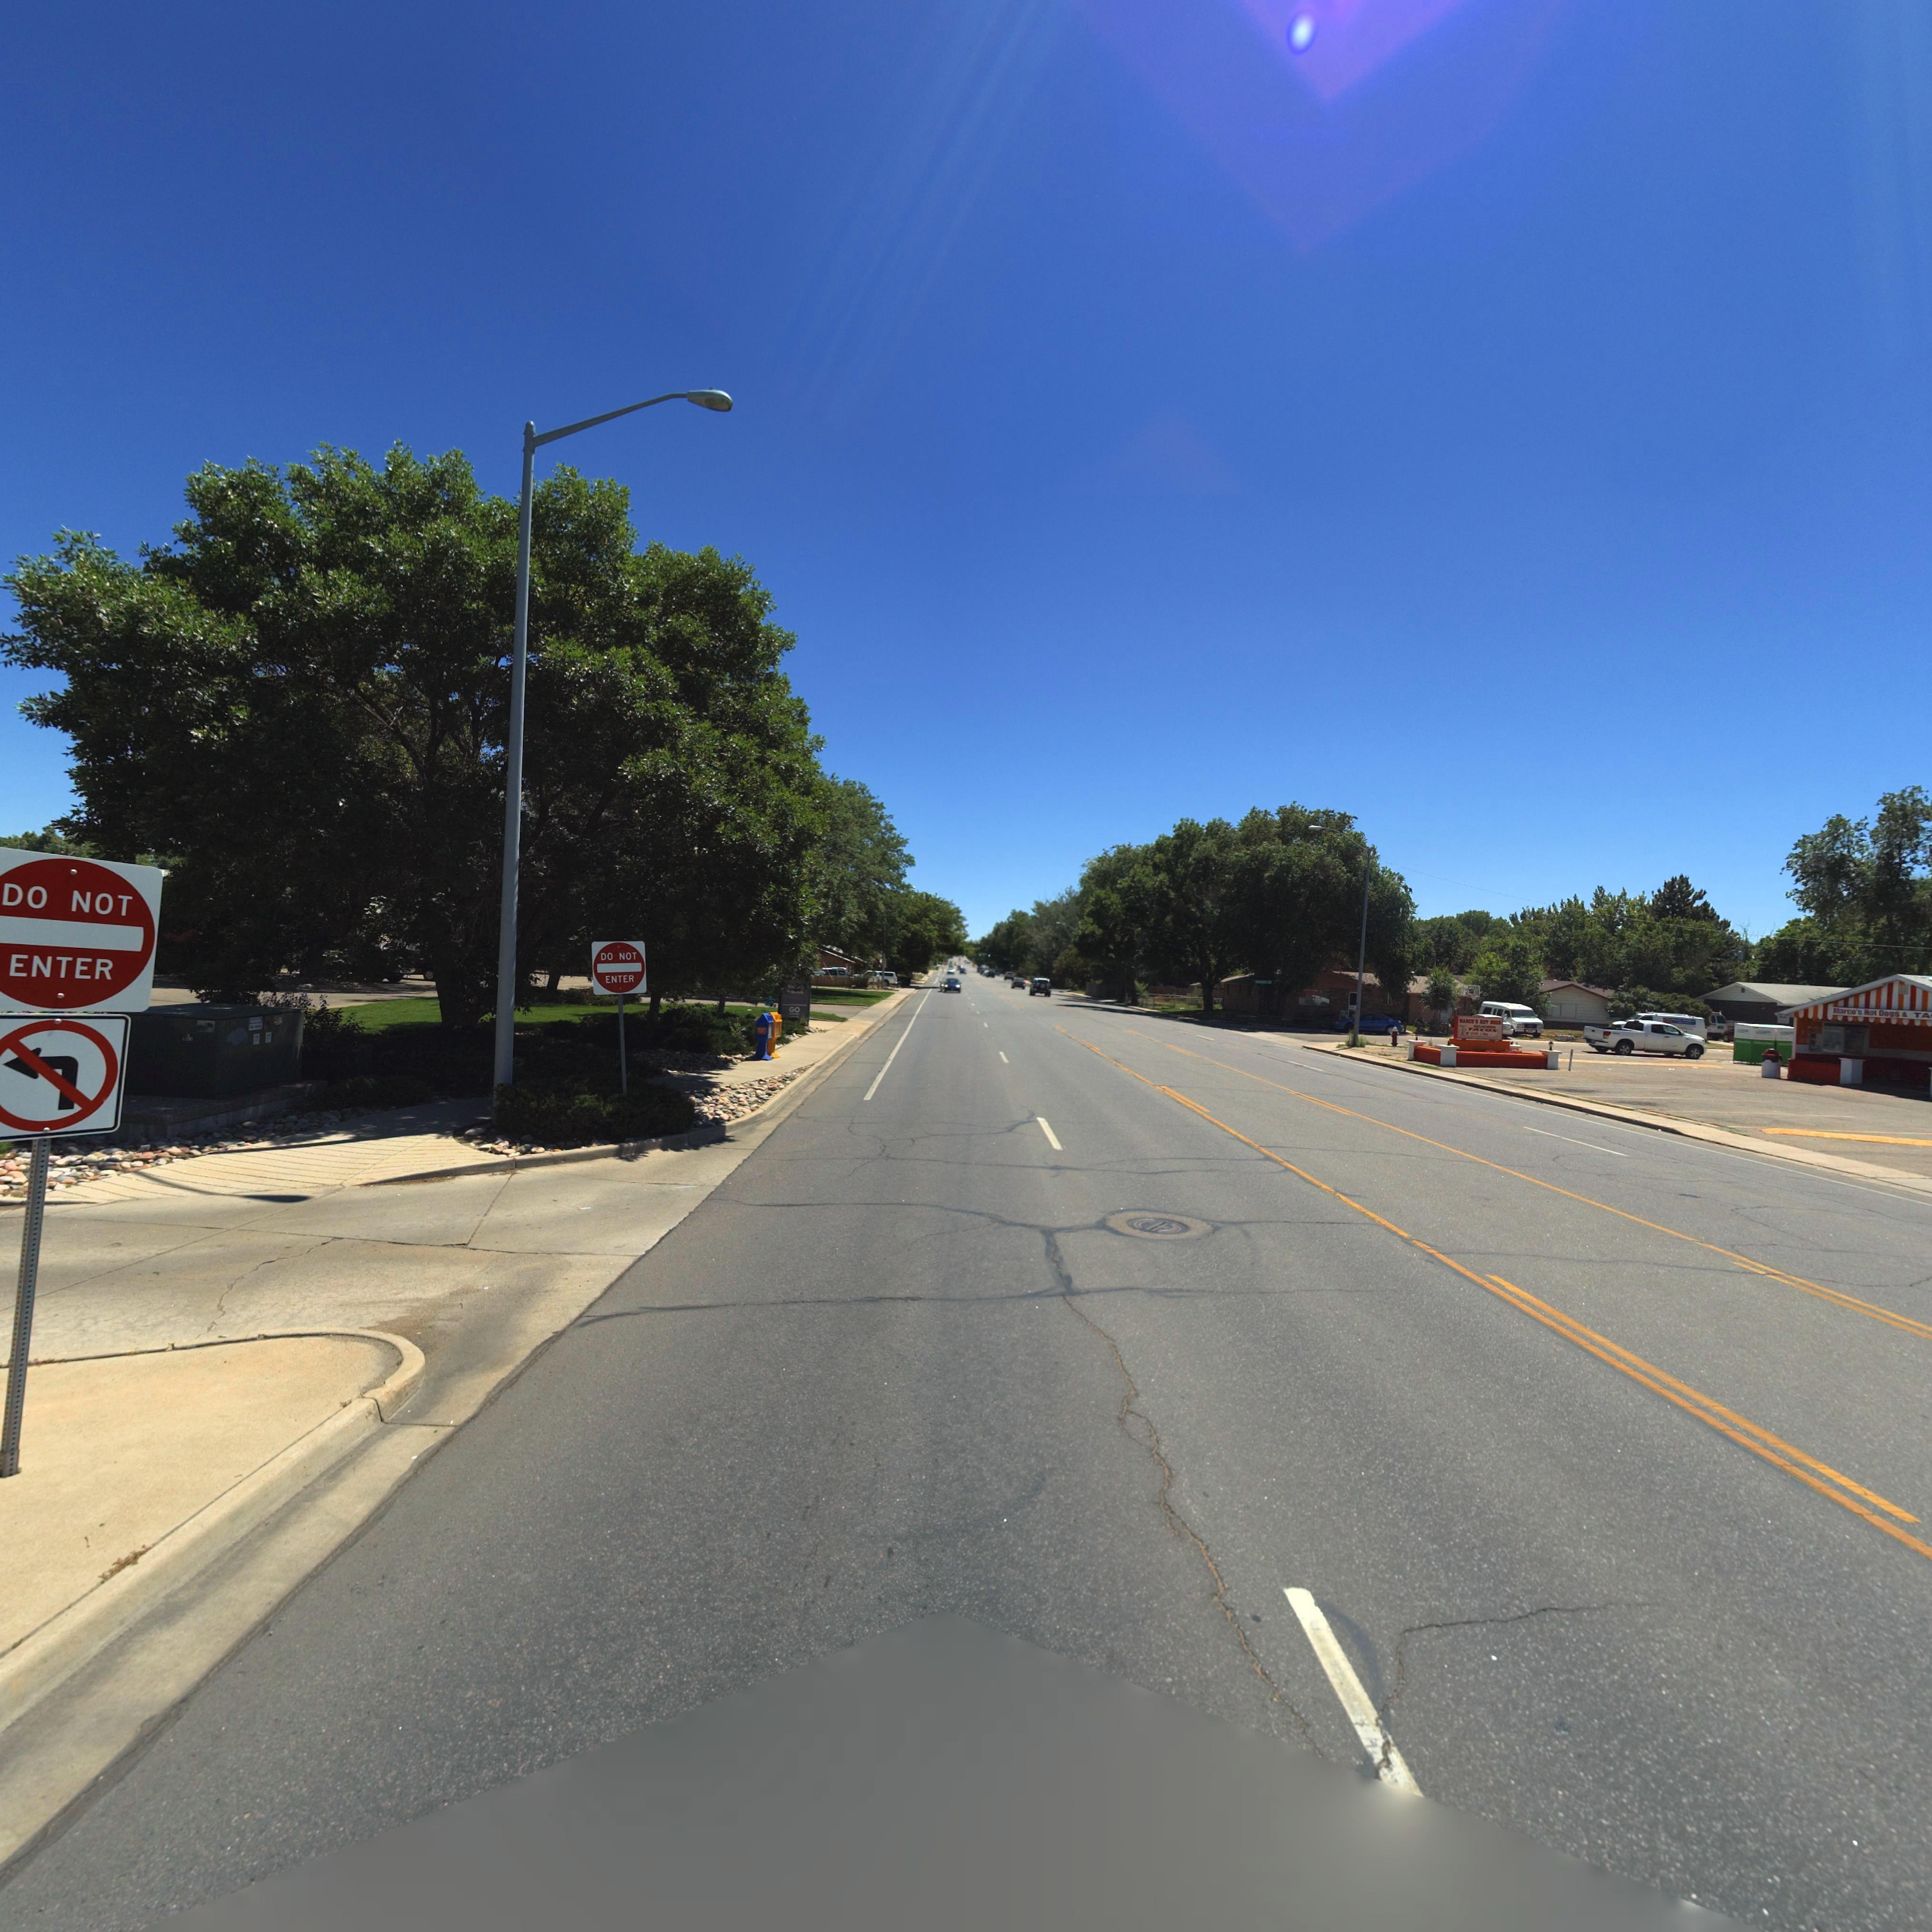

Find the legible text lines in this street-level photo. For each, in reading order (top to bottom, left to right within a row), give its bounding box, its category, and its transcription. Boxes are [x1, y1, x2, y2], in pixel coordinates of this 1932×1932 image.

[1833, 1007, 1931, 1019] BusinessName: ****** HOT DOGS * TA
[1459, 1018, 1502, 1025] BusinessName: MARCO'S HOT DOGS
[1468, 1027, 1497, 1033] BusinessName: TACOS